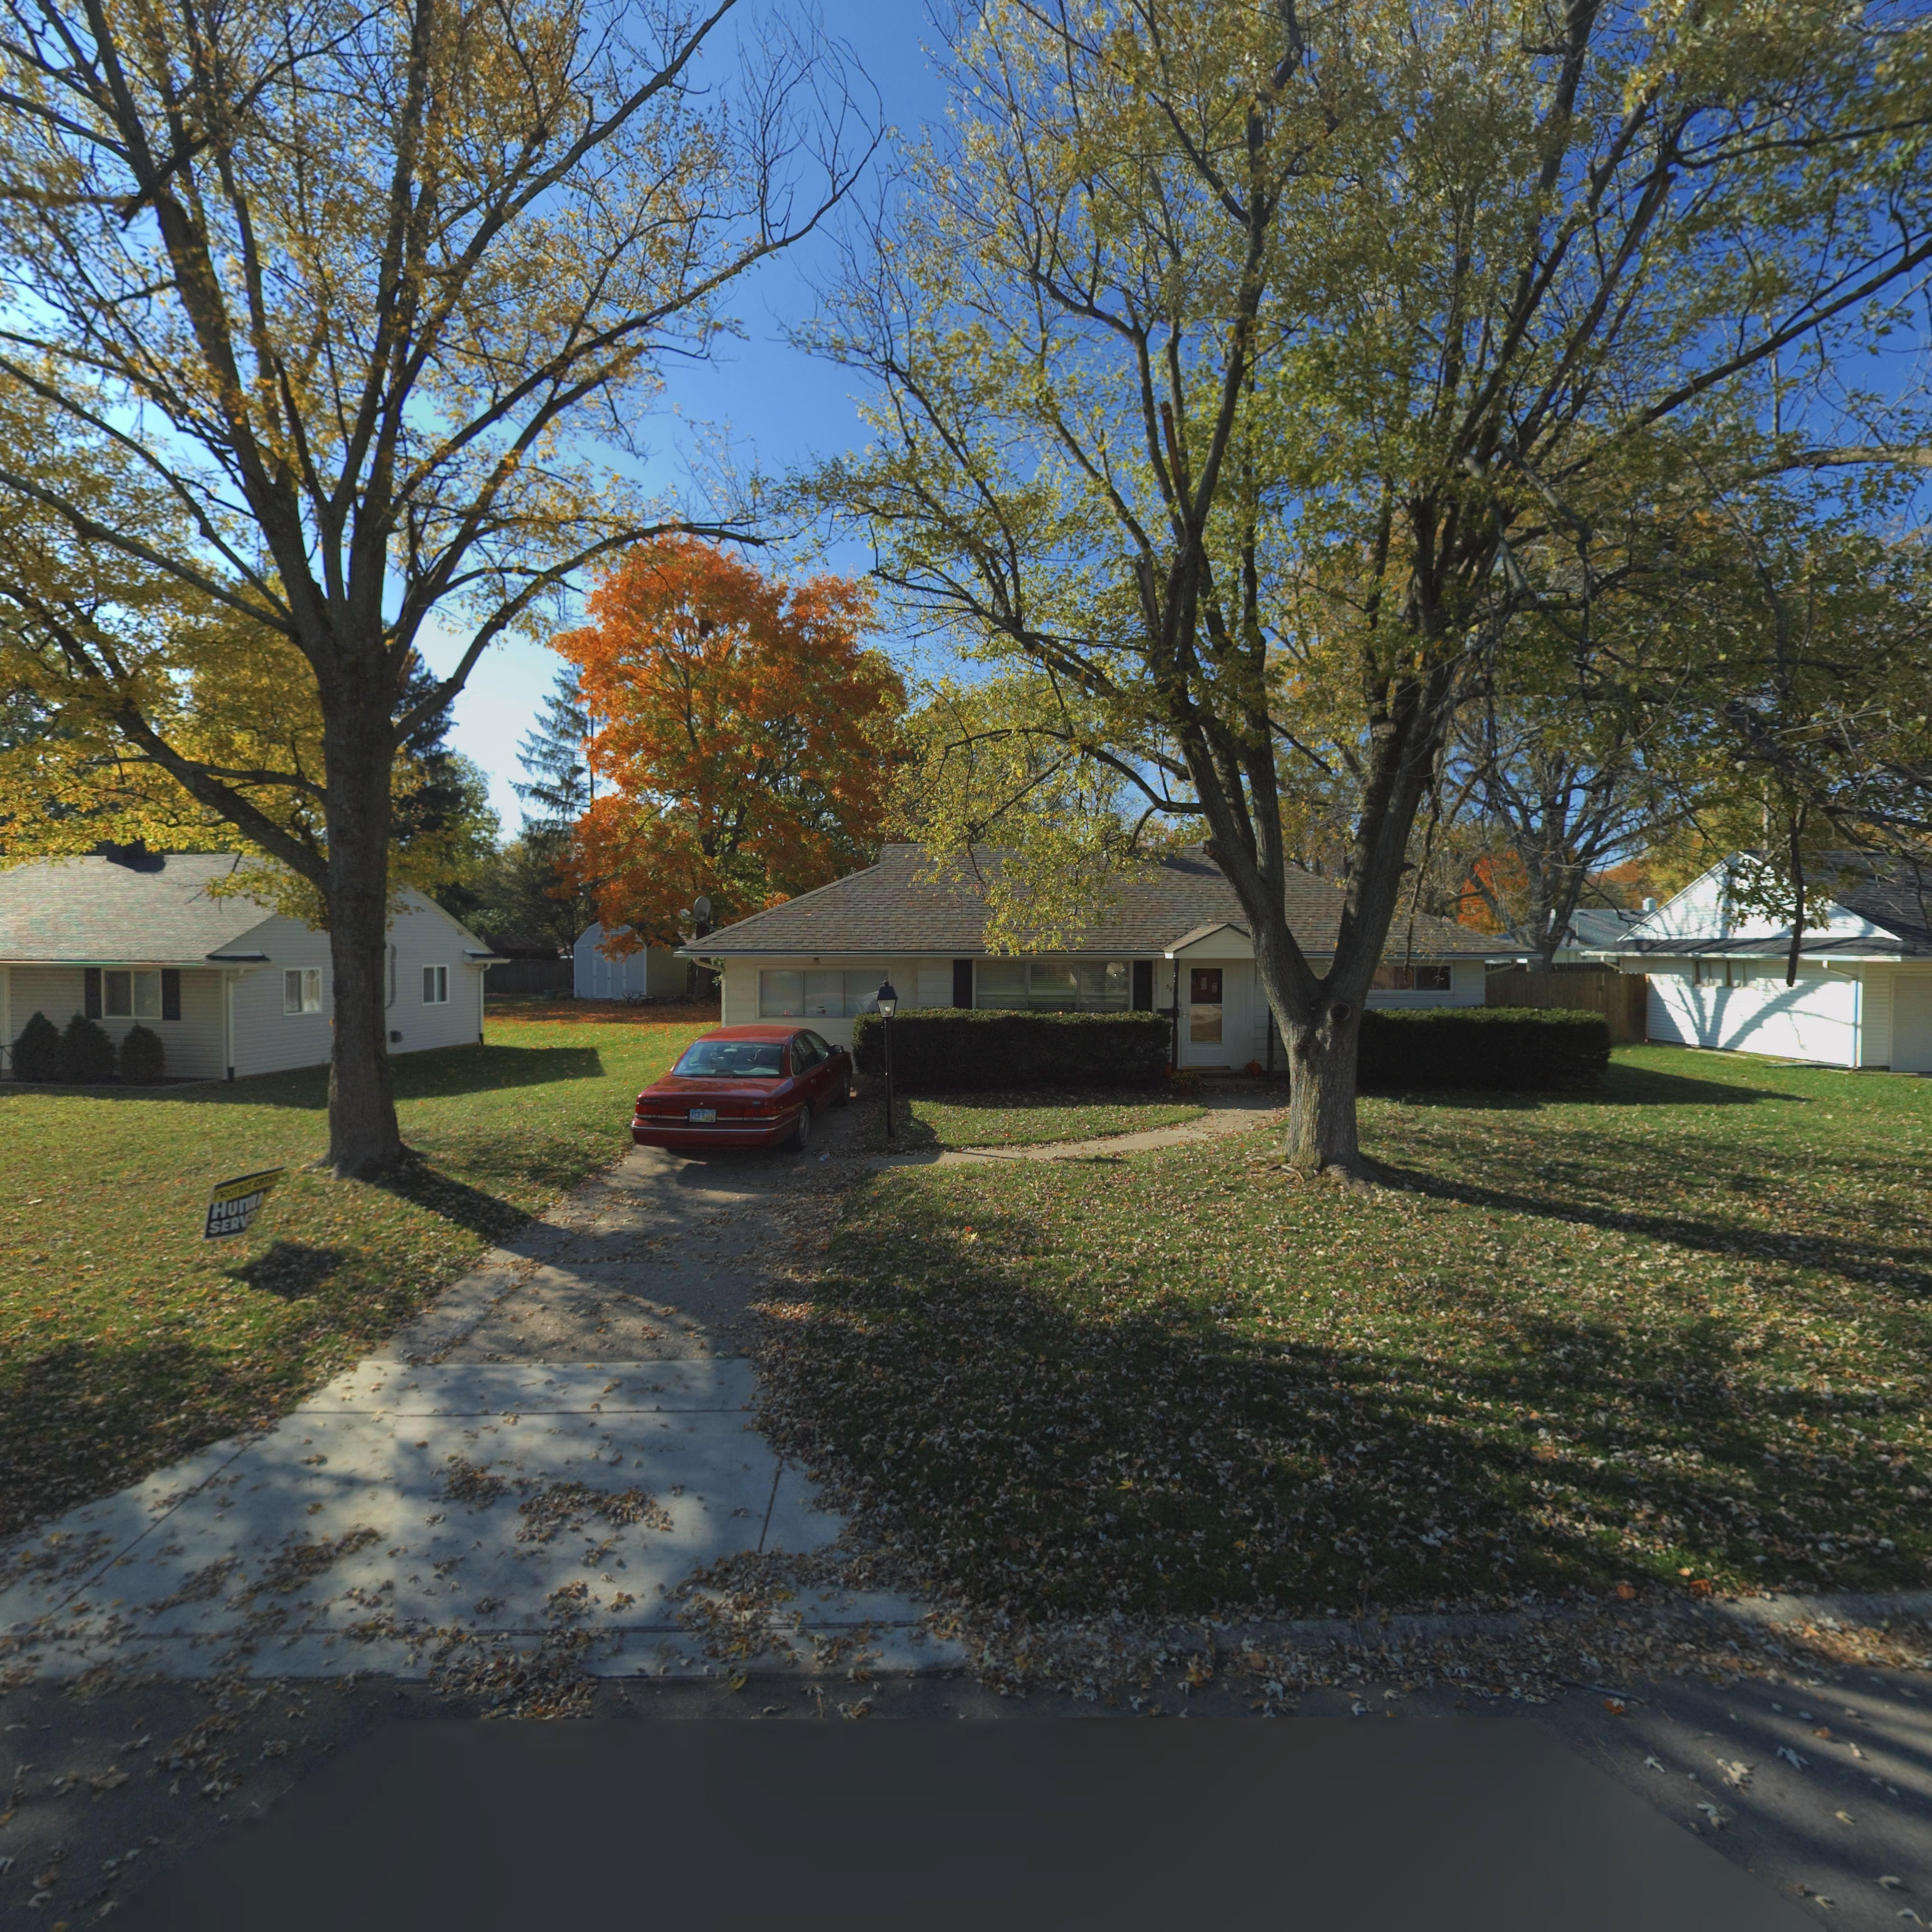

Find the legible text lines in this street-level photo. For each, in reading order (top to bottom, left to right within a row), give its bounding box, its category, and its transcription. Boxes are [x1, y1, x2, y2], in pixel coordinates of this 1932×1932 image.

[1165, 983, 1173, 992] StreetNumber: 38
[691, 1111, 714, 1120] None: FCR 8312
[214, 1172, 280, 1202] None: PROTECT CITICA
[210, 1196, 248, 1222] None: Hun
[207, 1213, 248, 1236] None: SERV